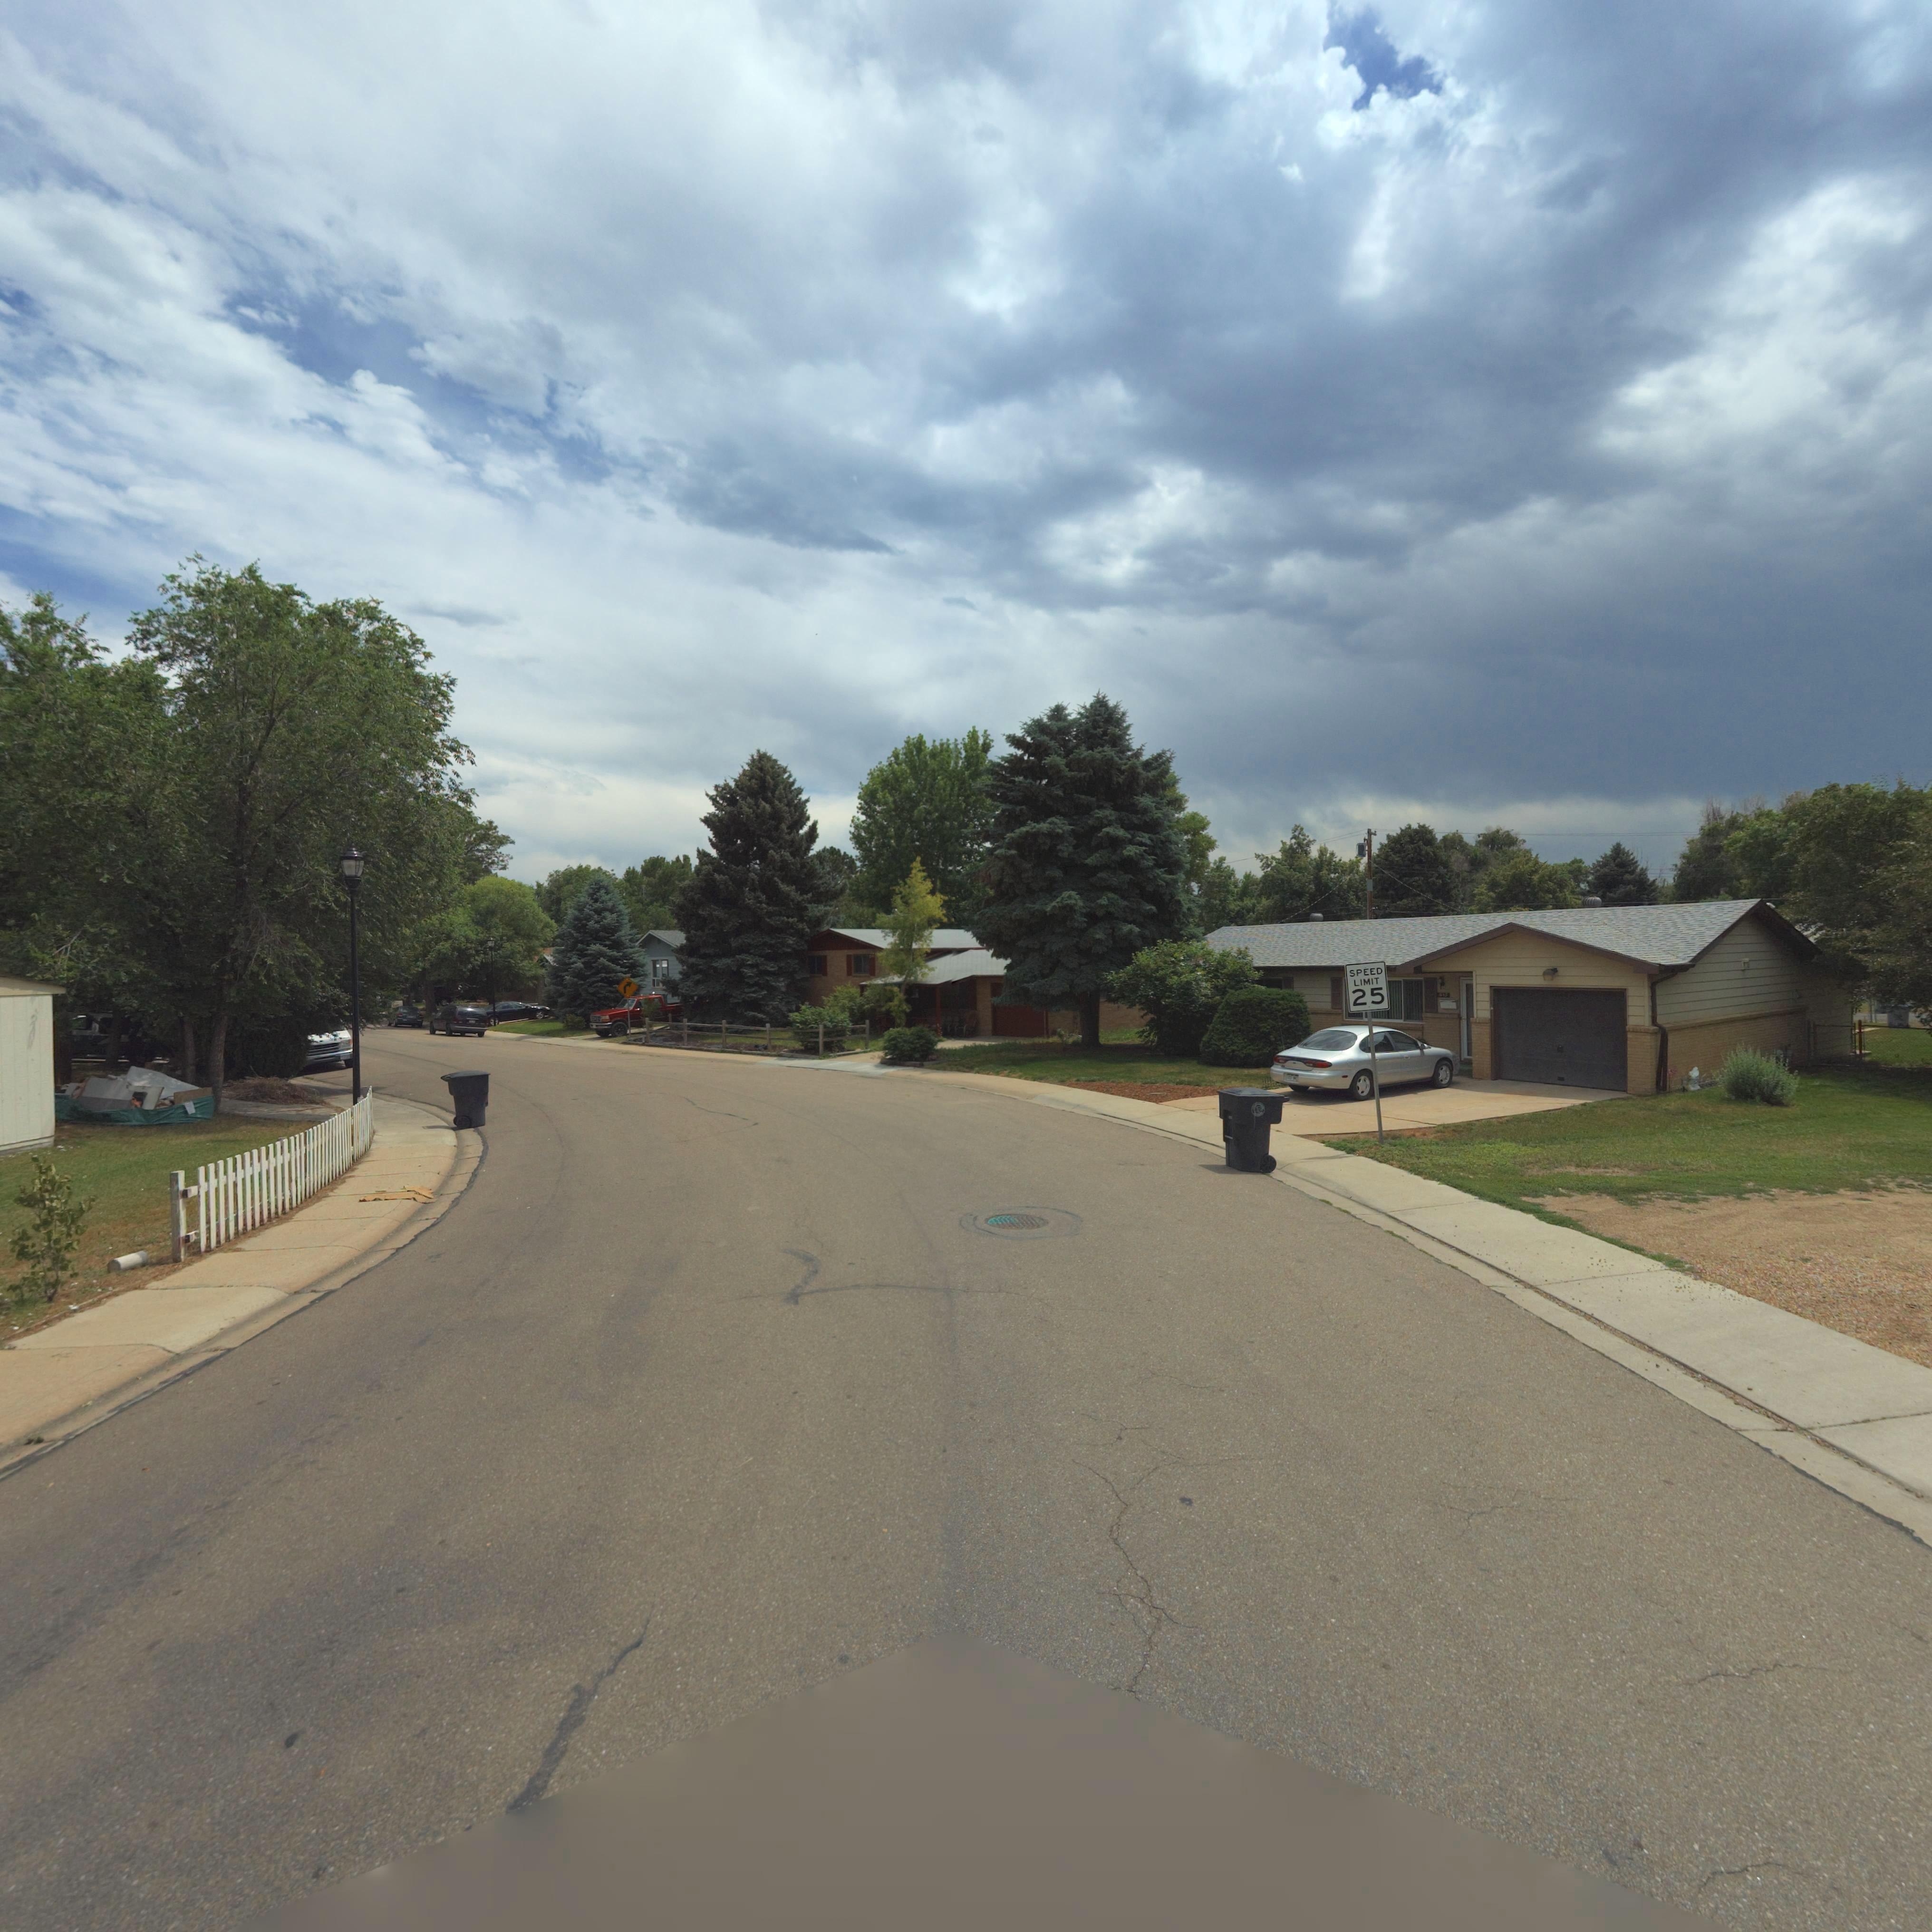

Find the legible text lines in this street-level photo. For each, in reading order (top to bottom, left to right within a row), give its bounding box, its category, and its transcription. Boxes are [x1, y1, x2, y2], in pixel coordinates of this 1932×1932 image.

[1438, 992, 1448, 997] StreetNumber: **5